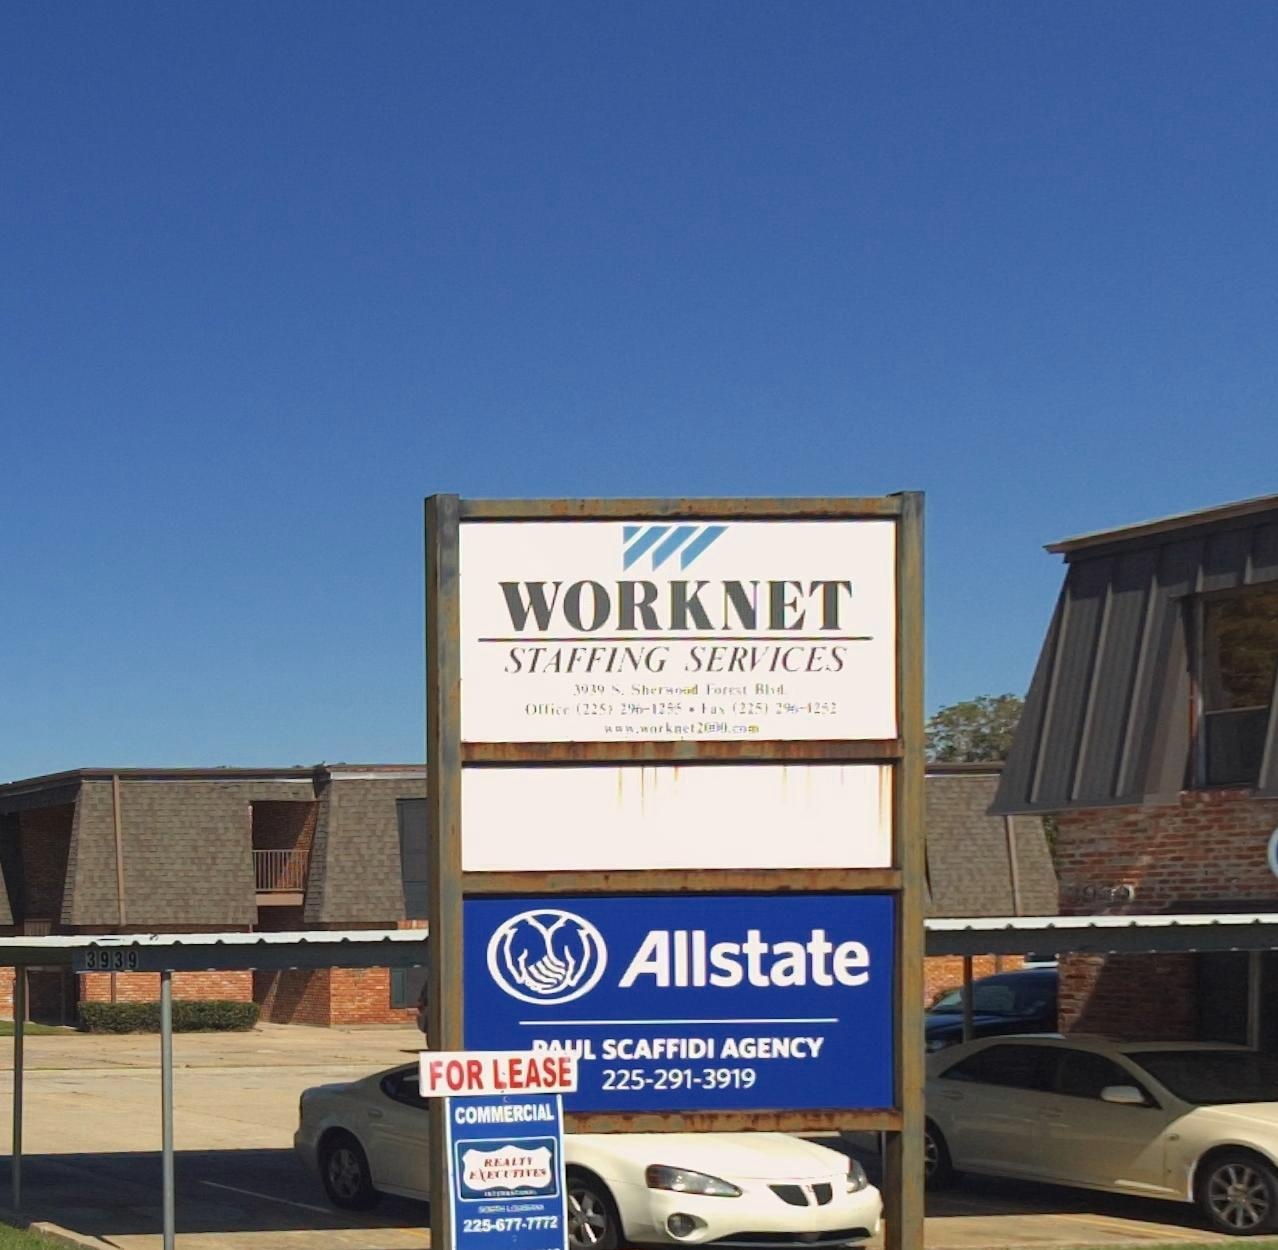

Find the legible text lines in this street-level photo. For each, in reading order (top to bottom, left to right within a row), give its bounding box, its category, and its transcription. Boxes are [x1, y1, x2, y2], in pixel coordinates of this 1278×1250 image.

[492, 576, 857, 635] BusinessName: WORKNET
[498, 643, 852, 679] None: STAFFING SERVICES
[569, 680, 608, 700] StreetNumber: 3939
[608, 680, 791, 700] StreetName: S.Sher**od Fo**** Bl*d.
[521, 699, 841, 720] None: Office (225) 296-12** * *** (2*5) ***-12*2
[609, 922, 875, 993] BusinessName: Allstate
[582, 1033, 828, 1063] None: L SCAFFIDI AGENCY
[426, 1053, 576, 1094] None: FOR LEASE
[598, 1065, 760, 1093] None: 225-291-3919
[451, 1100, 557, 1127] None: COMMERCIAL
[466, 1164, 549, 1184] None: E*EC******
[481, 1153, 537, 1170] None: REALT*
[460, 1212, 561, 1236] None: 225-677-7772